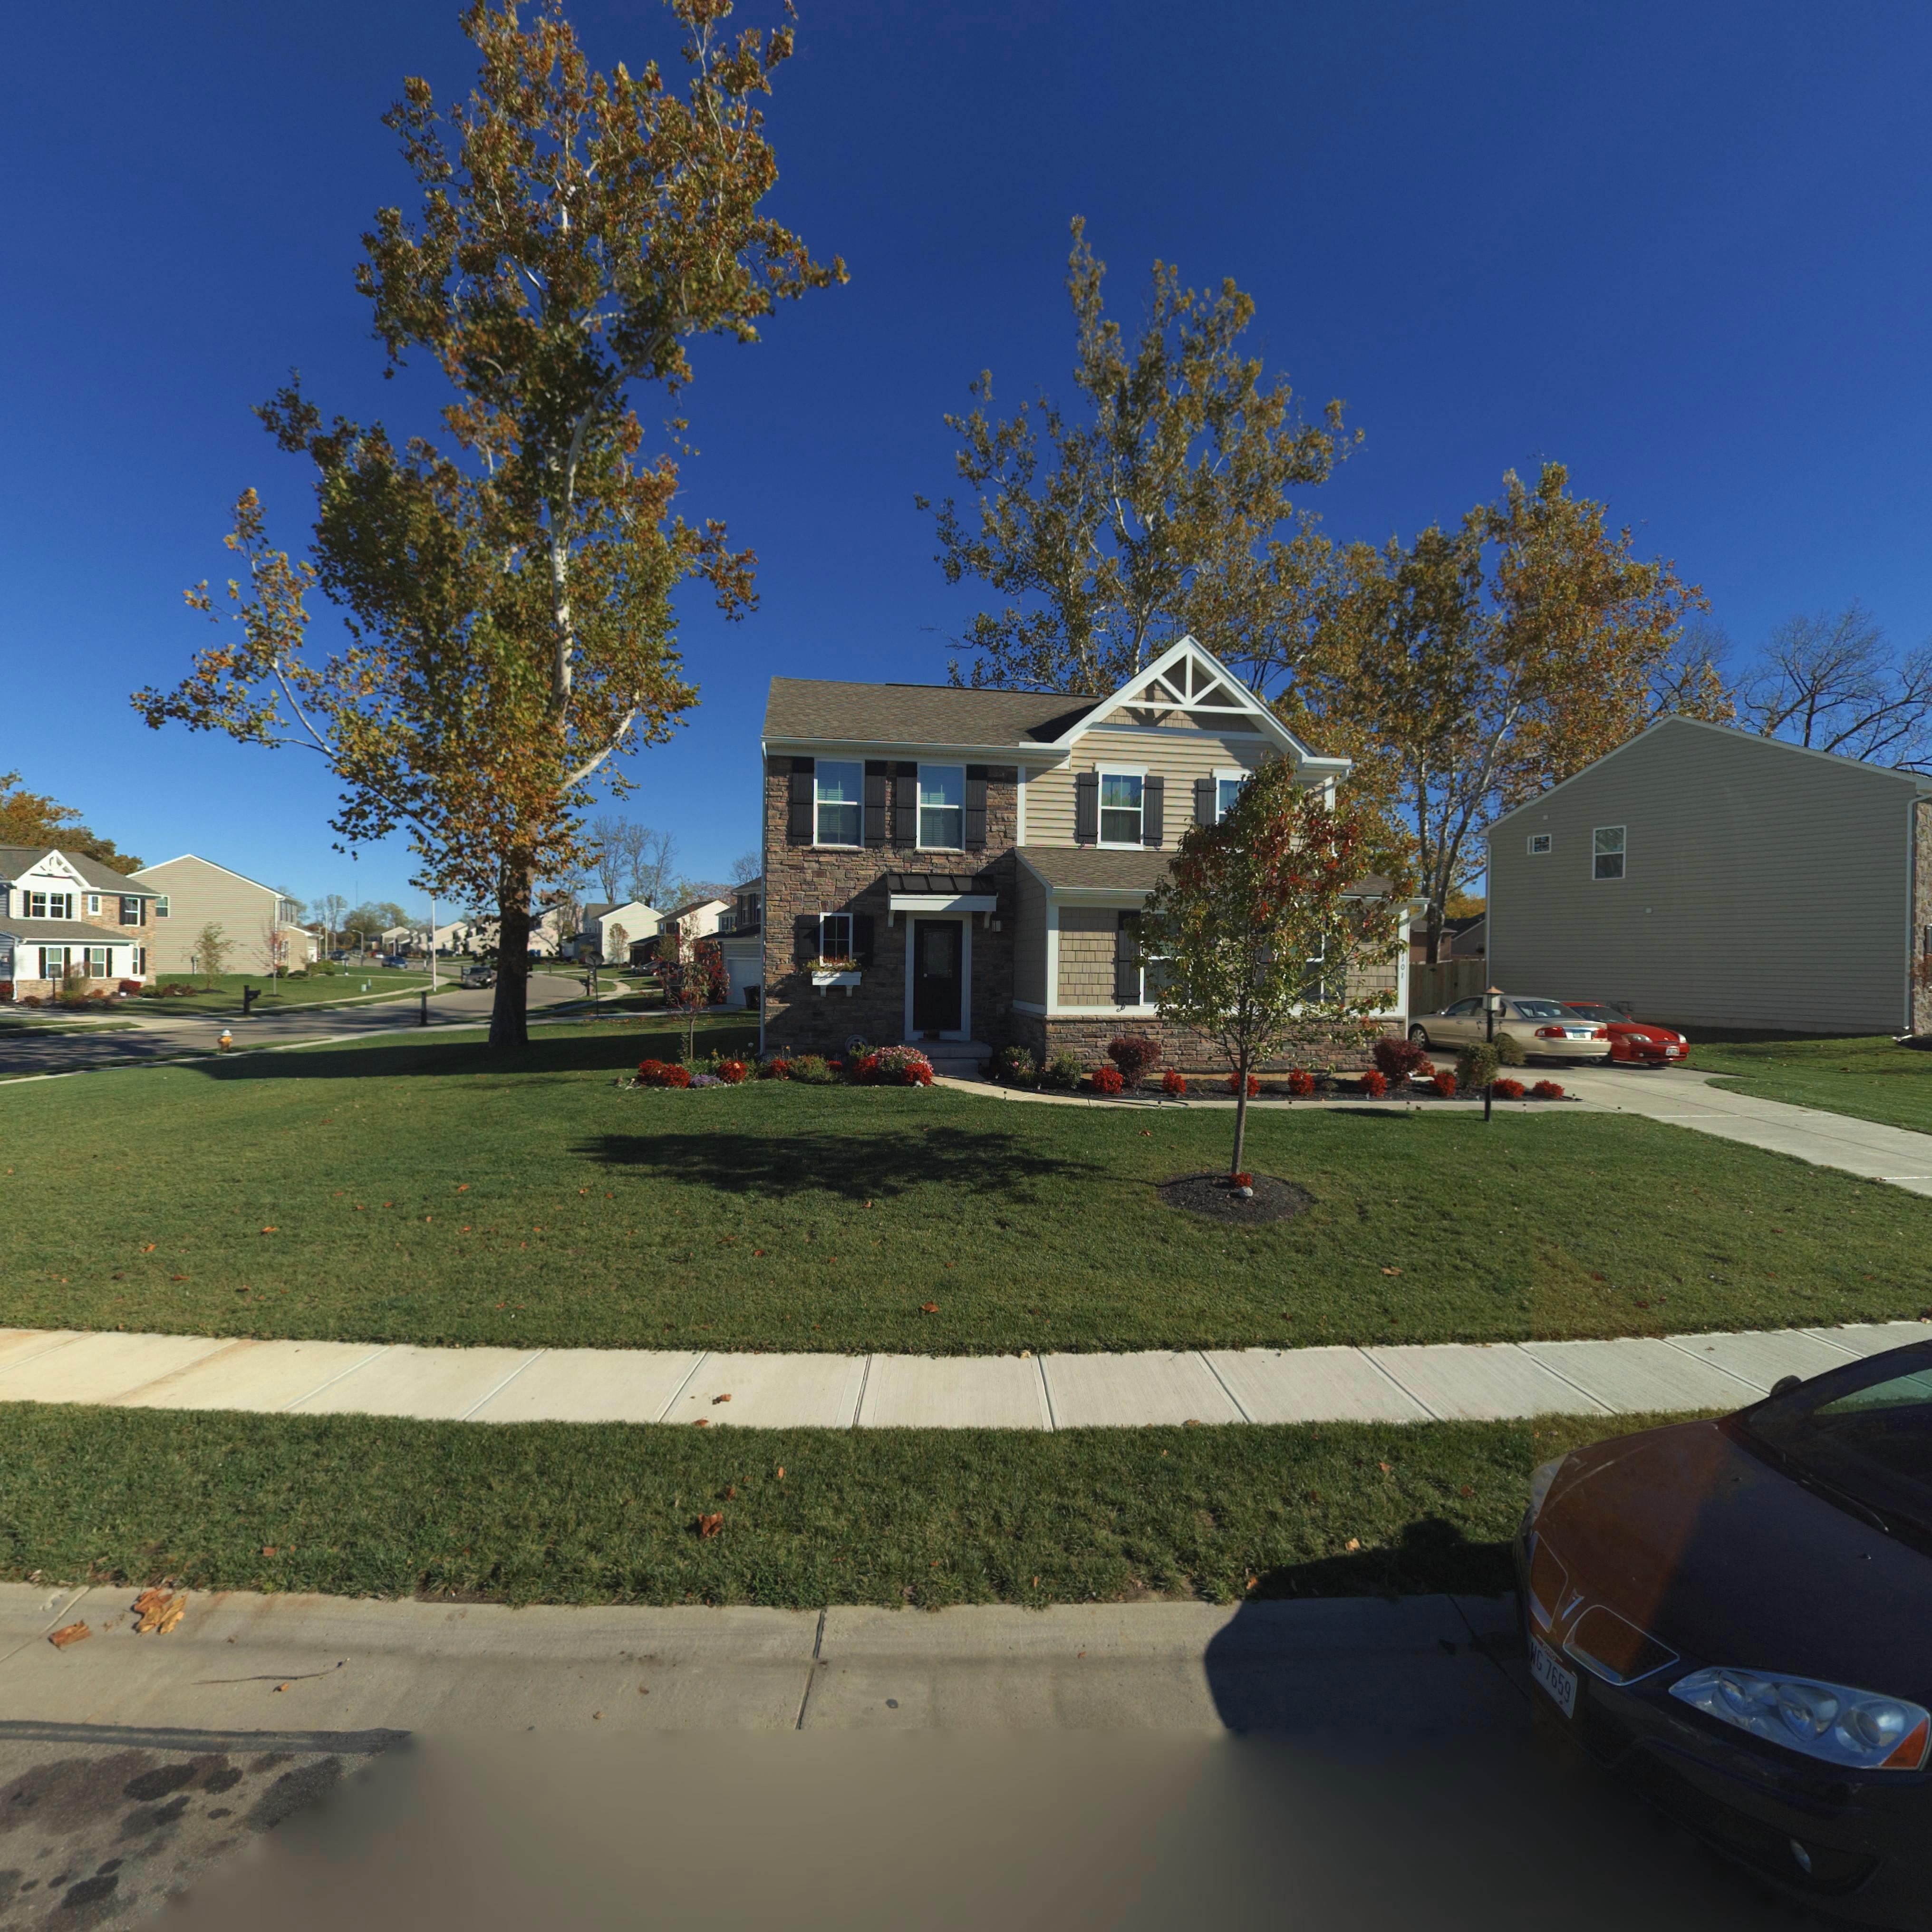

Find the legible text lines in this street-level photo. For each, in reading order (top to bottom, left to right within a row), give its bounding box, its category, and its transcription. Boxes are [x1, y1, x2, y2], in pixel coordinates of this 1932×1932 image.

[1400, 956, 1405, 978] StreetNumber: 101